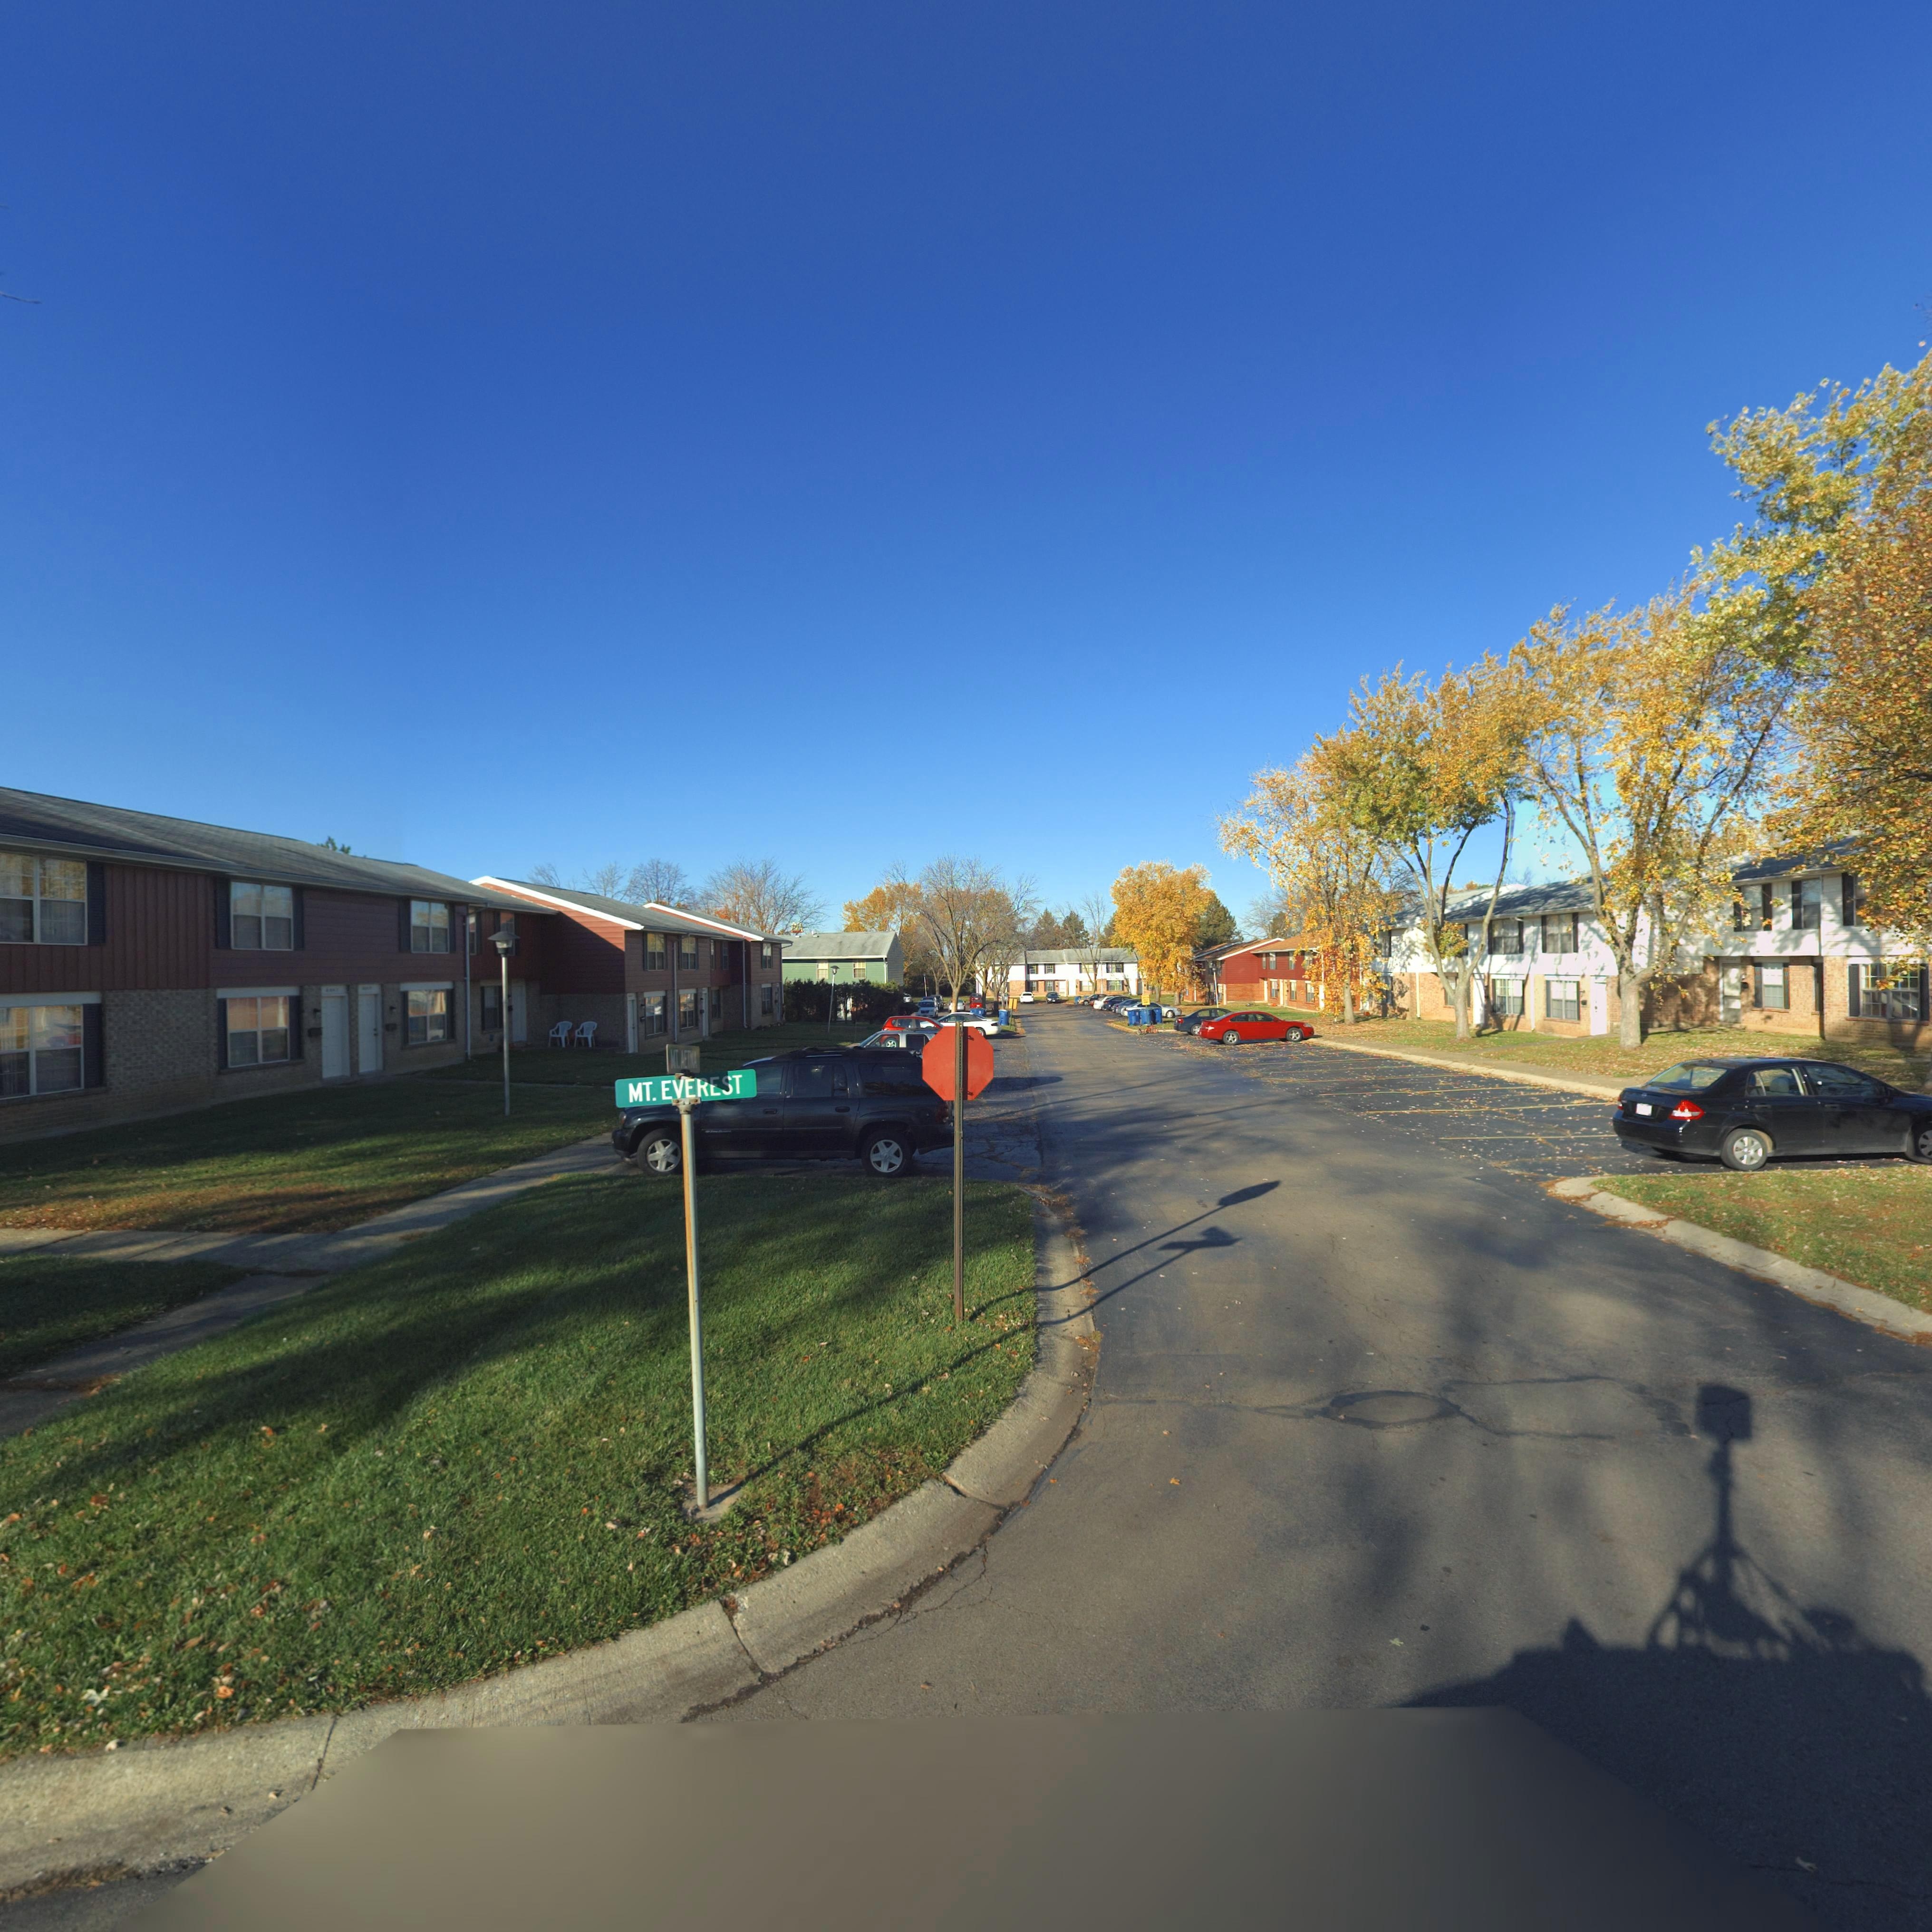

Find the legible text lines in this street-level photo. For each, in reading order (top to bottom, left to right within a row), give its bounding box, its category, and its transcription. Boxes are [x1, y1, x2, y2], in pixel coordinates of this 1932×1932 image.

[325, 987, 339, 993] StreetNumber: 8**7
[669, 1048, 698, 1070] StreetName: MT. AETNA
[628, 1073, 743, 1103] StreetName: MT. EVEREST